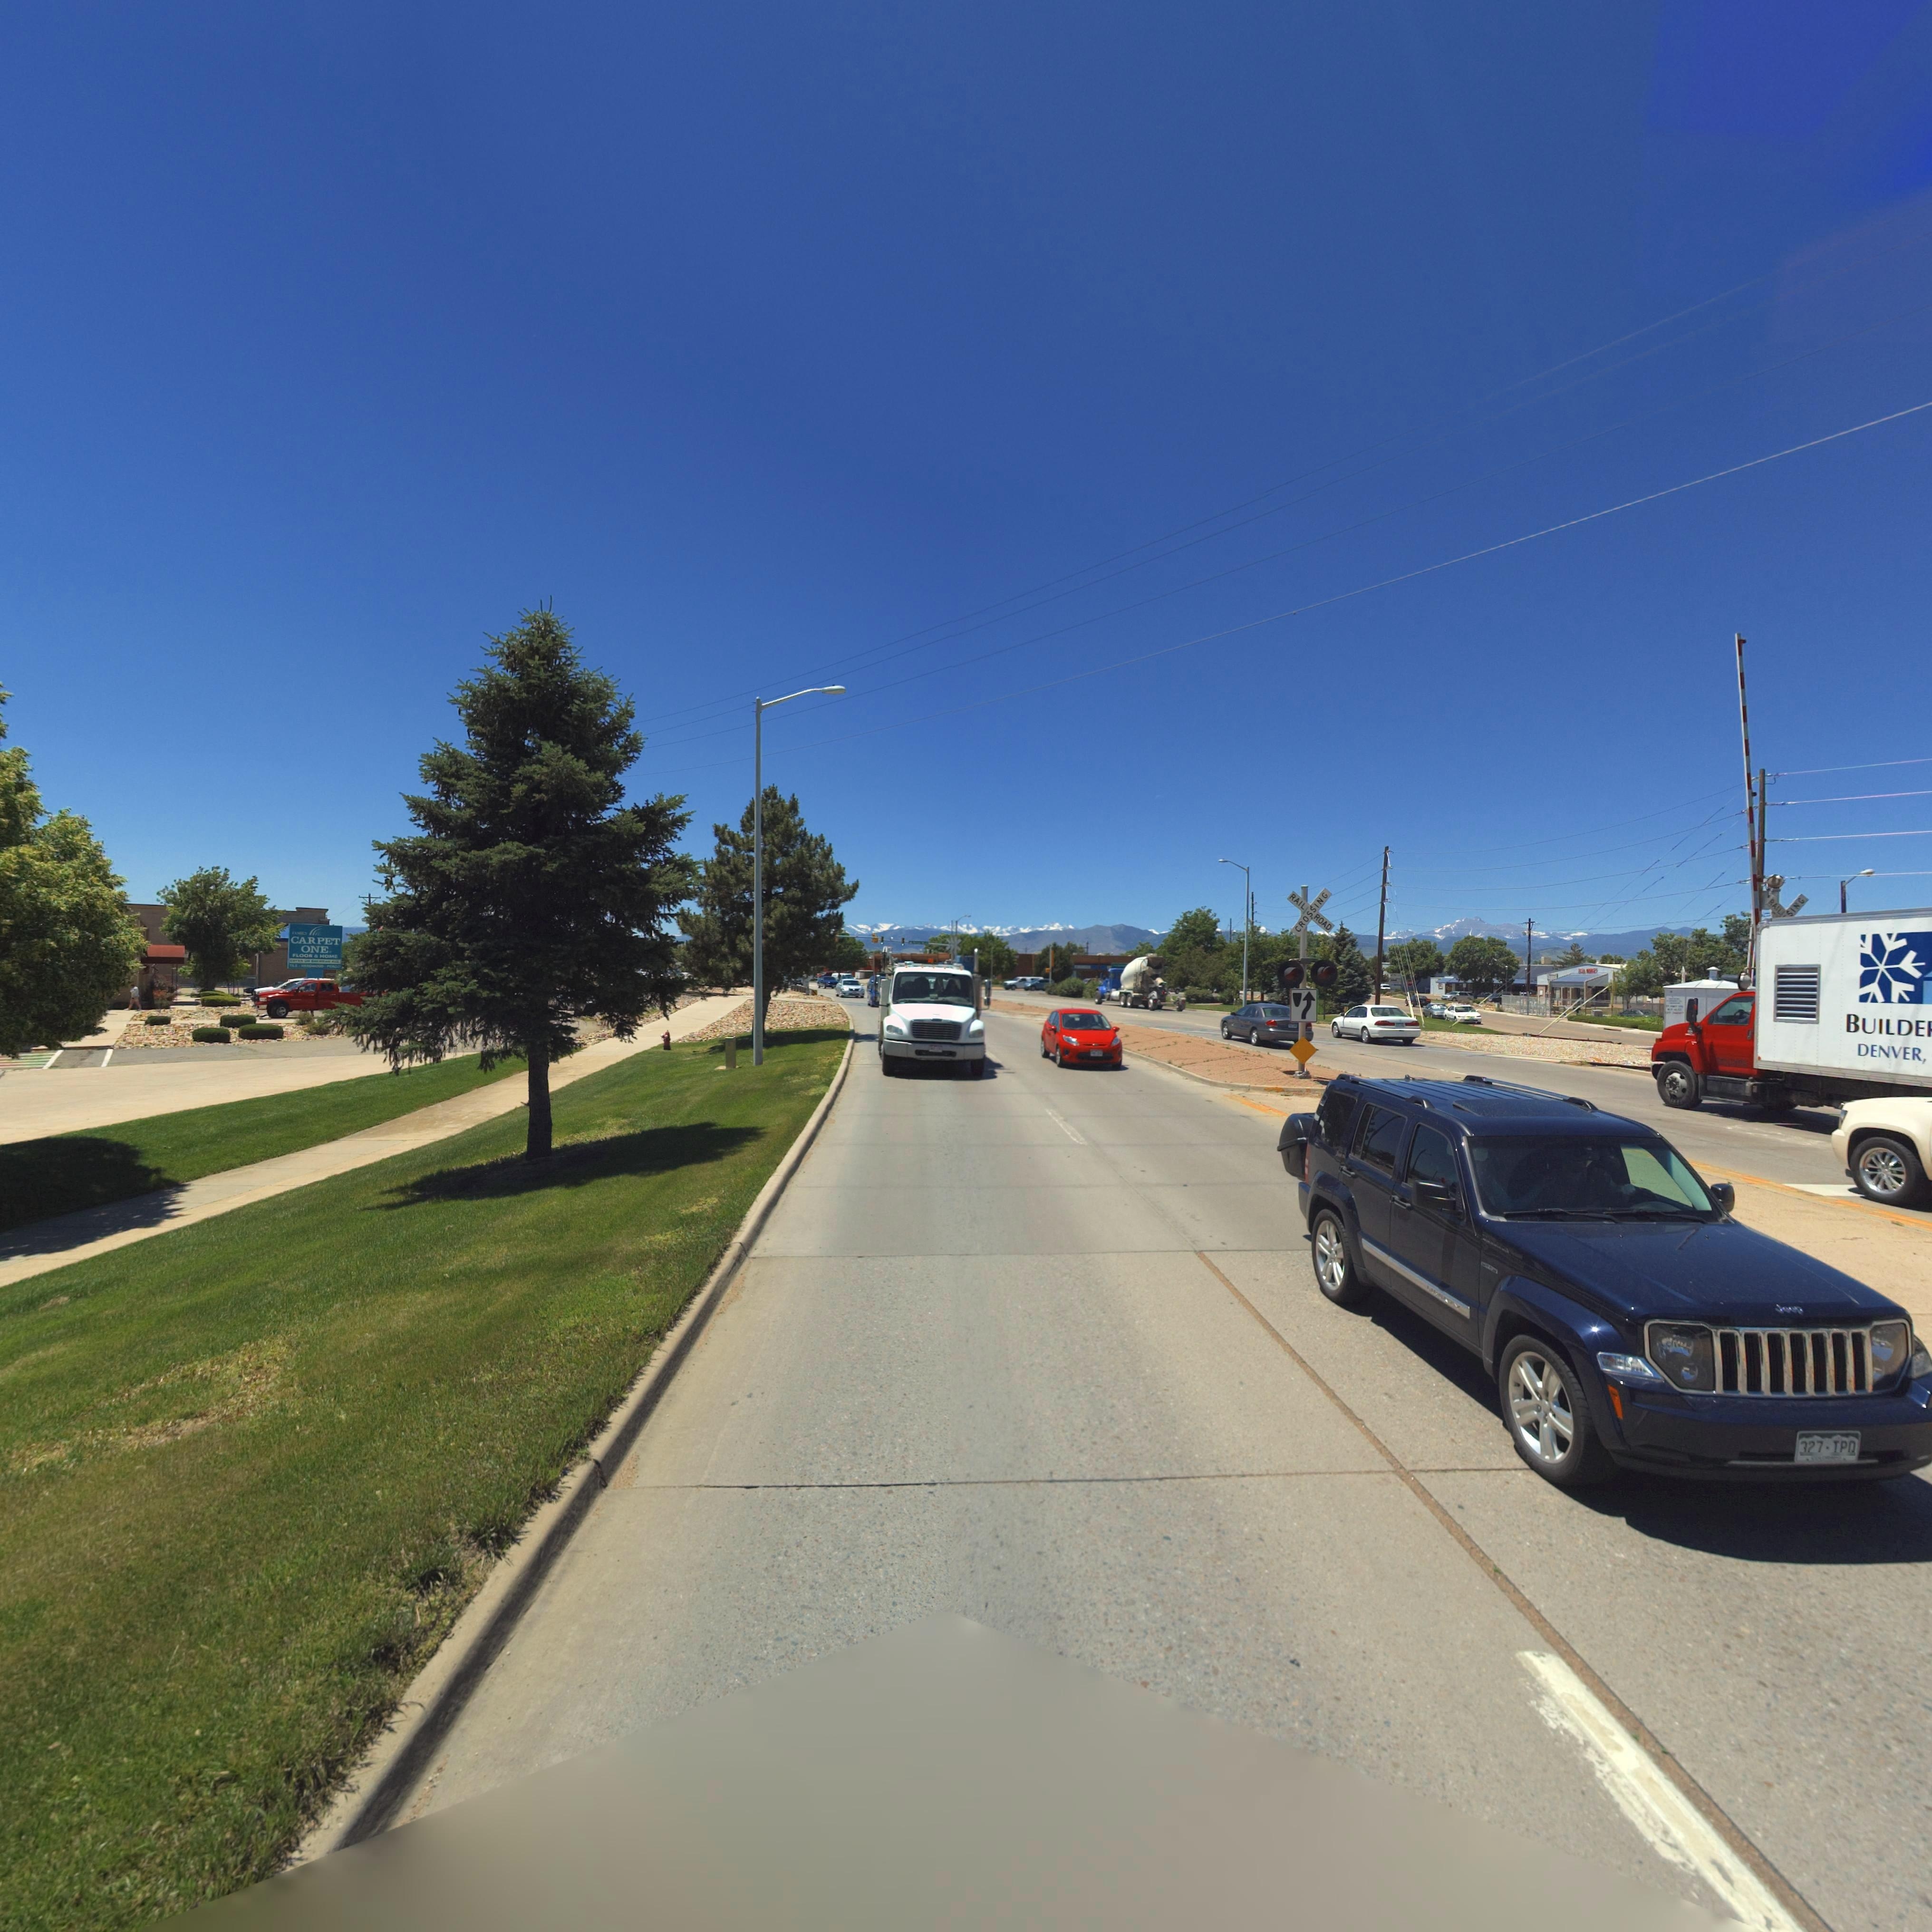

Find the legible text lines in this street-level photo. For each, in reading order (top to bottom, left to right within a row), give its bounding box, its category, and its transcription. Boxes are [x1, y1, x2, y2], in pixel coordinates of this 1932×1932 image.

[290, 936, 341, 945] BusinessName: CARPET
[300, 945, 329, 954] BusinessName: ONE